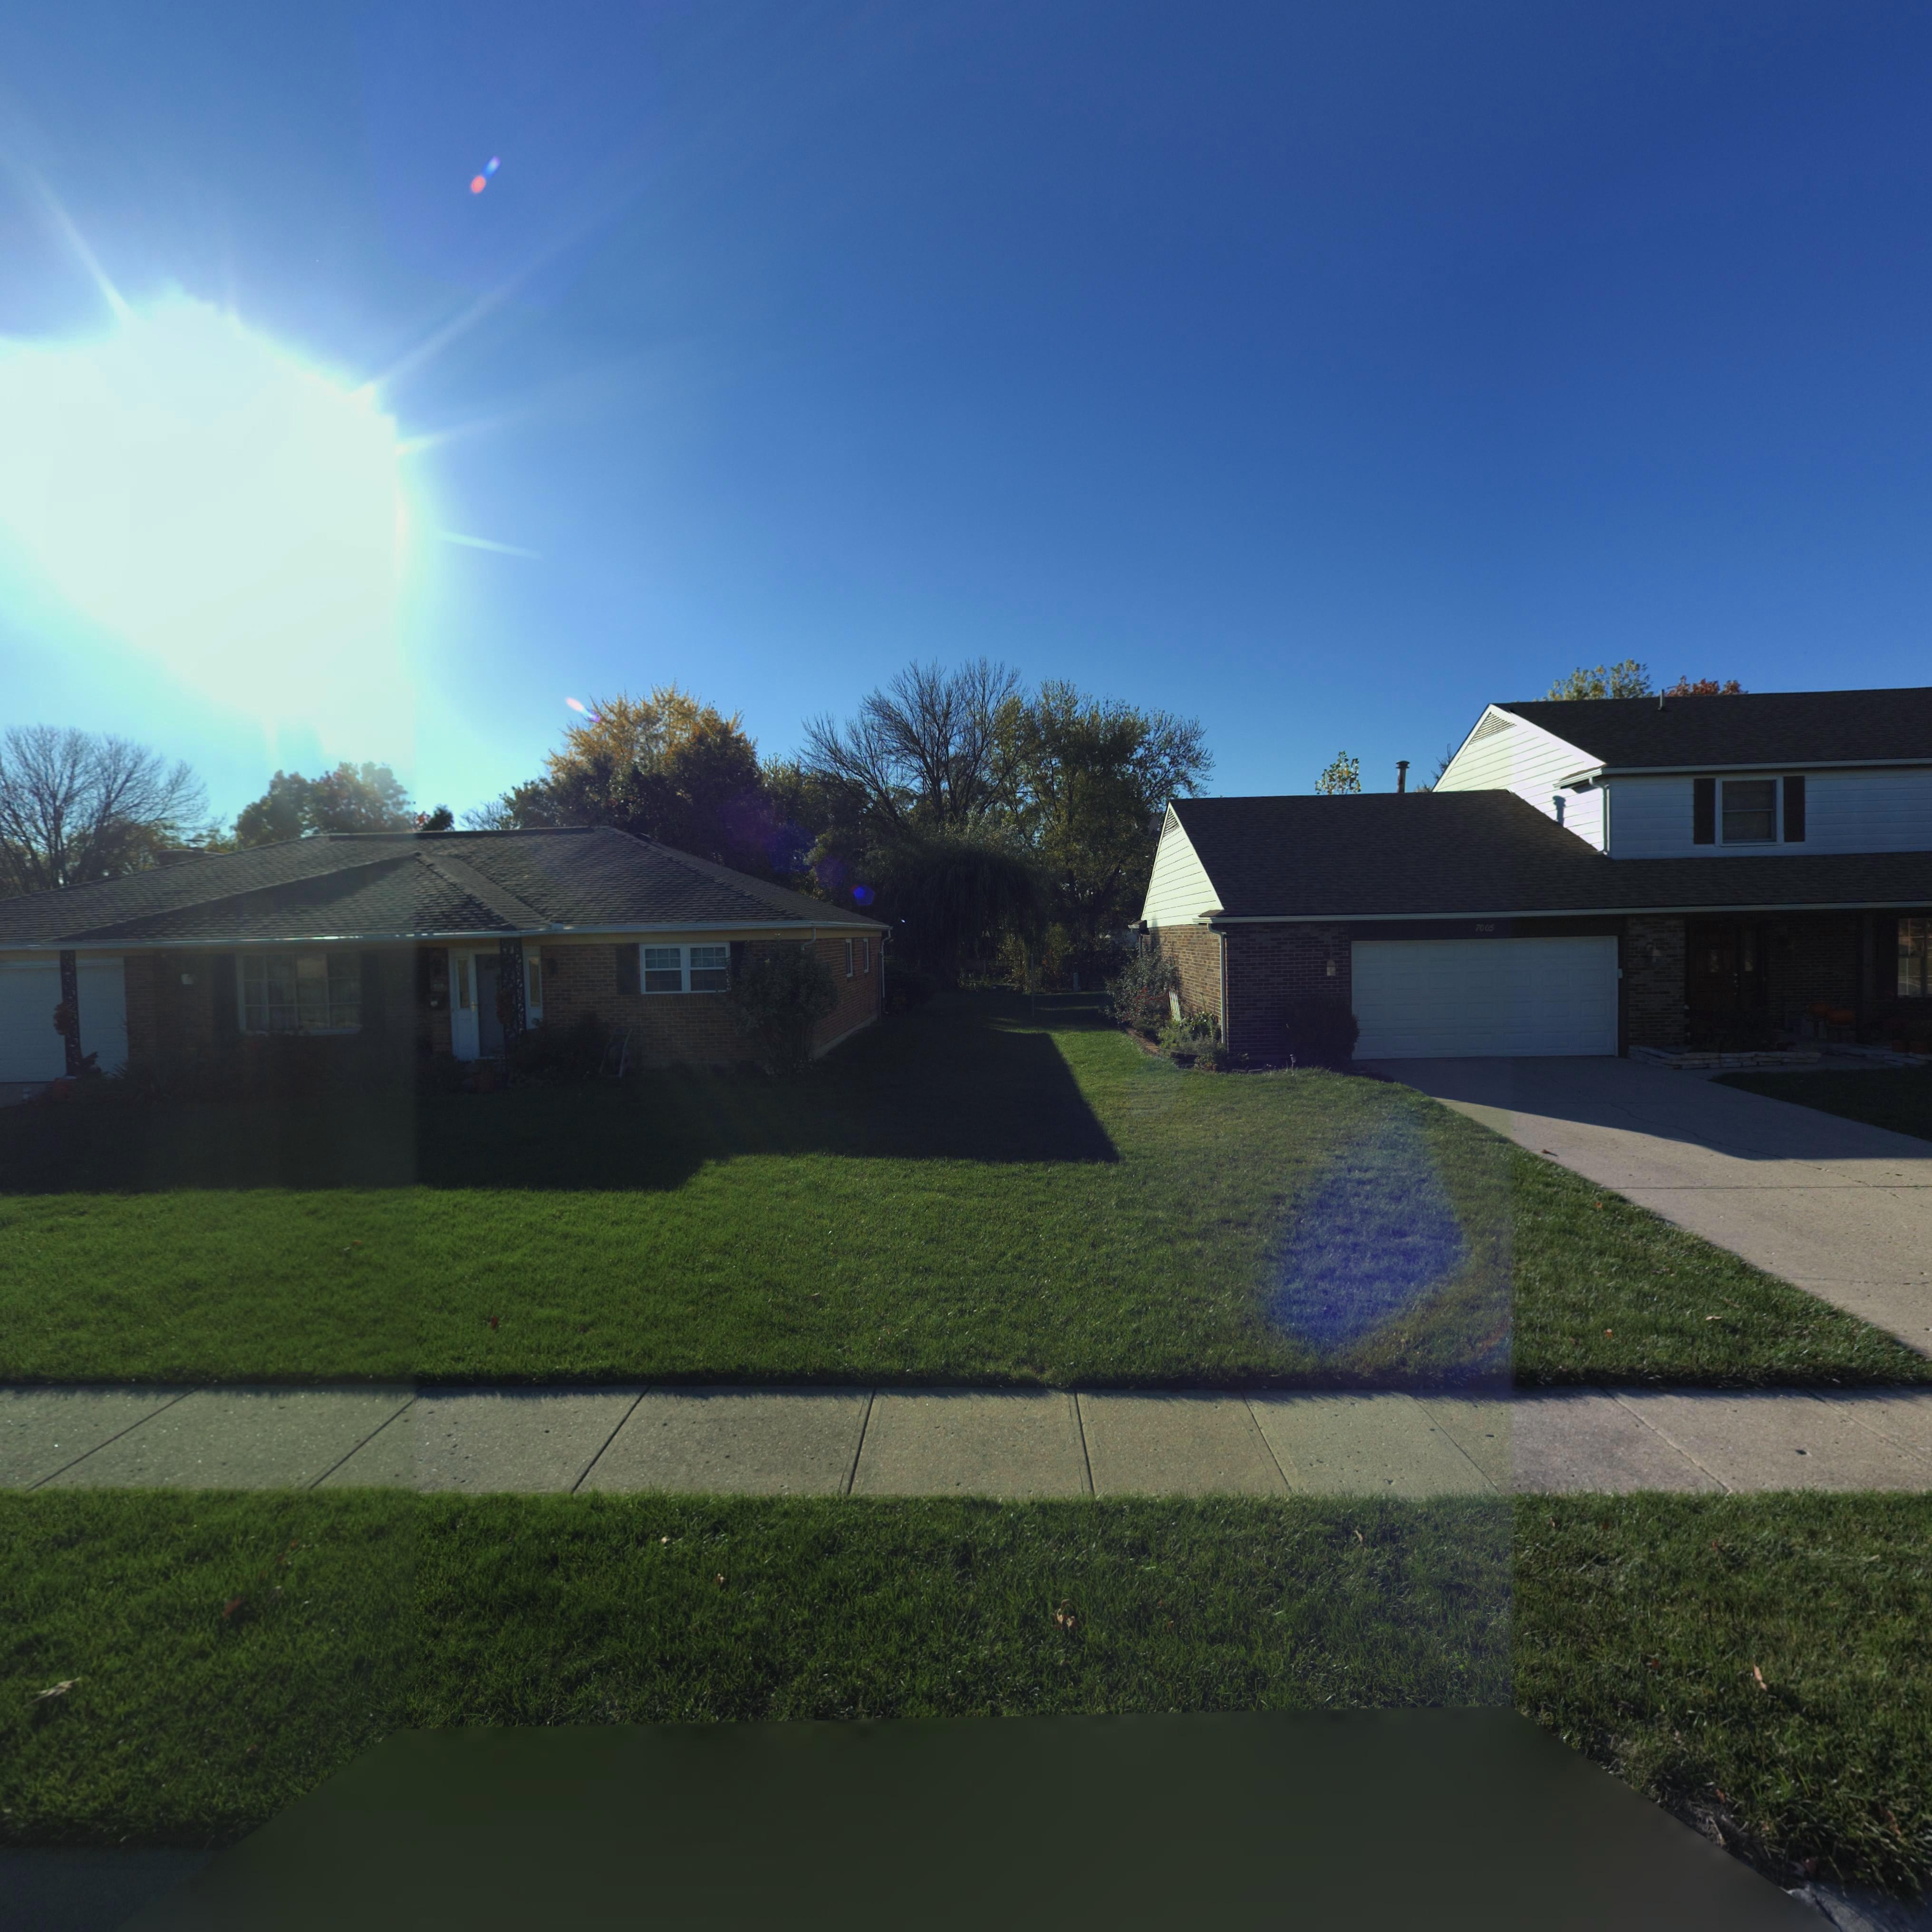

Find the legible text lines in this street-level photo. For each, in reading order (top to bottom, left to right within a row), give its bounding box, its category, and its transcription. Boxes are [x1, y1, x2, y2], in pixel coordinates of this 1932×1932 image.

[1475, 924, 1495, 932] StreetNumber: 7005